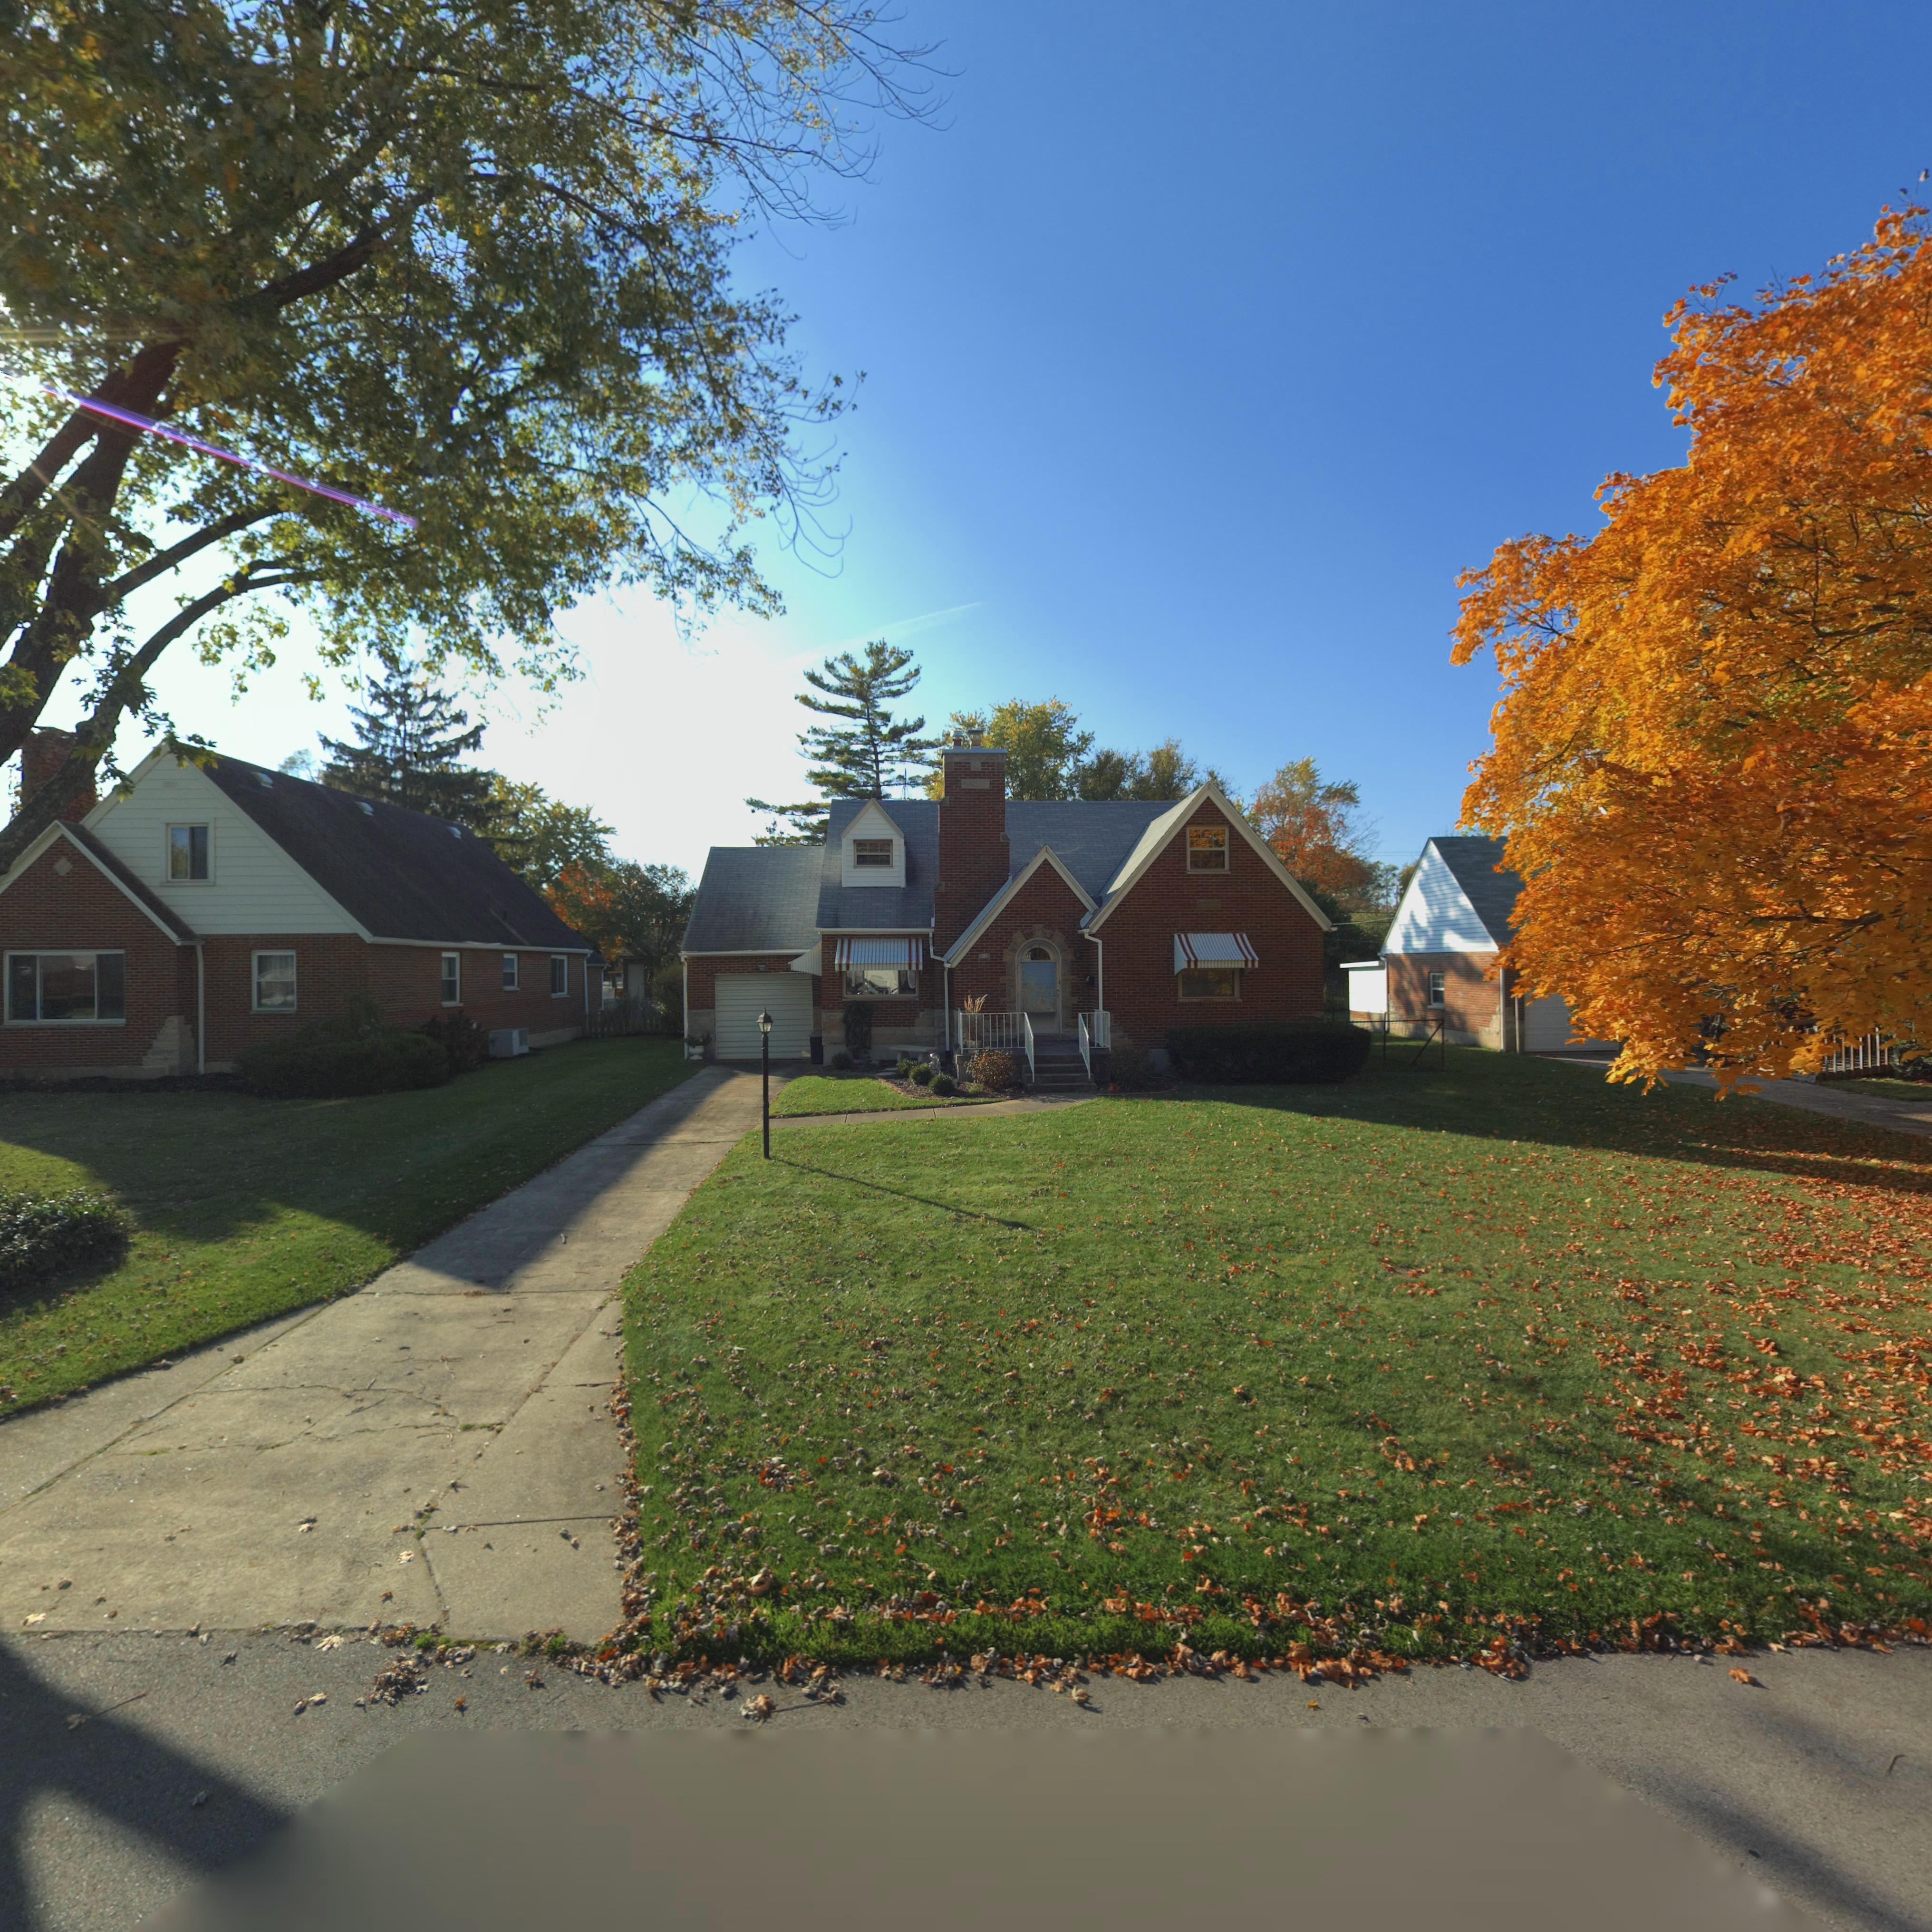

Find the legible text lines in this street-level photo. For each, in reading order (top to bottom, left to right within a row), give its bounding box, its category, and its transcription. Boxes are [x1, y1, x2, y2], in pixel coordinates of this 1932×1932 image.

[979, 953, 990, 957] StreetNumber: **2*